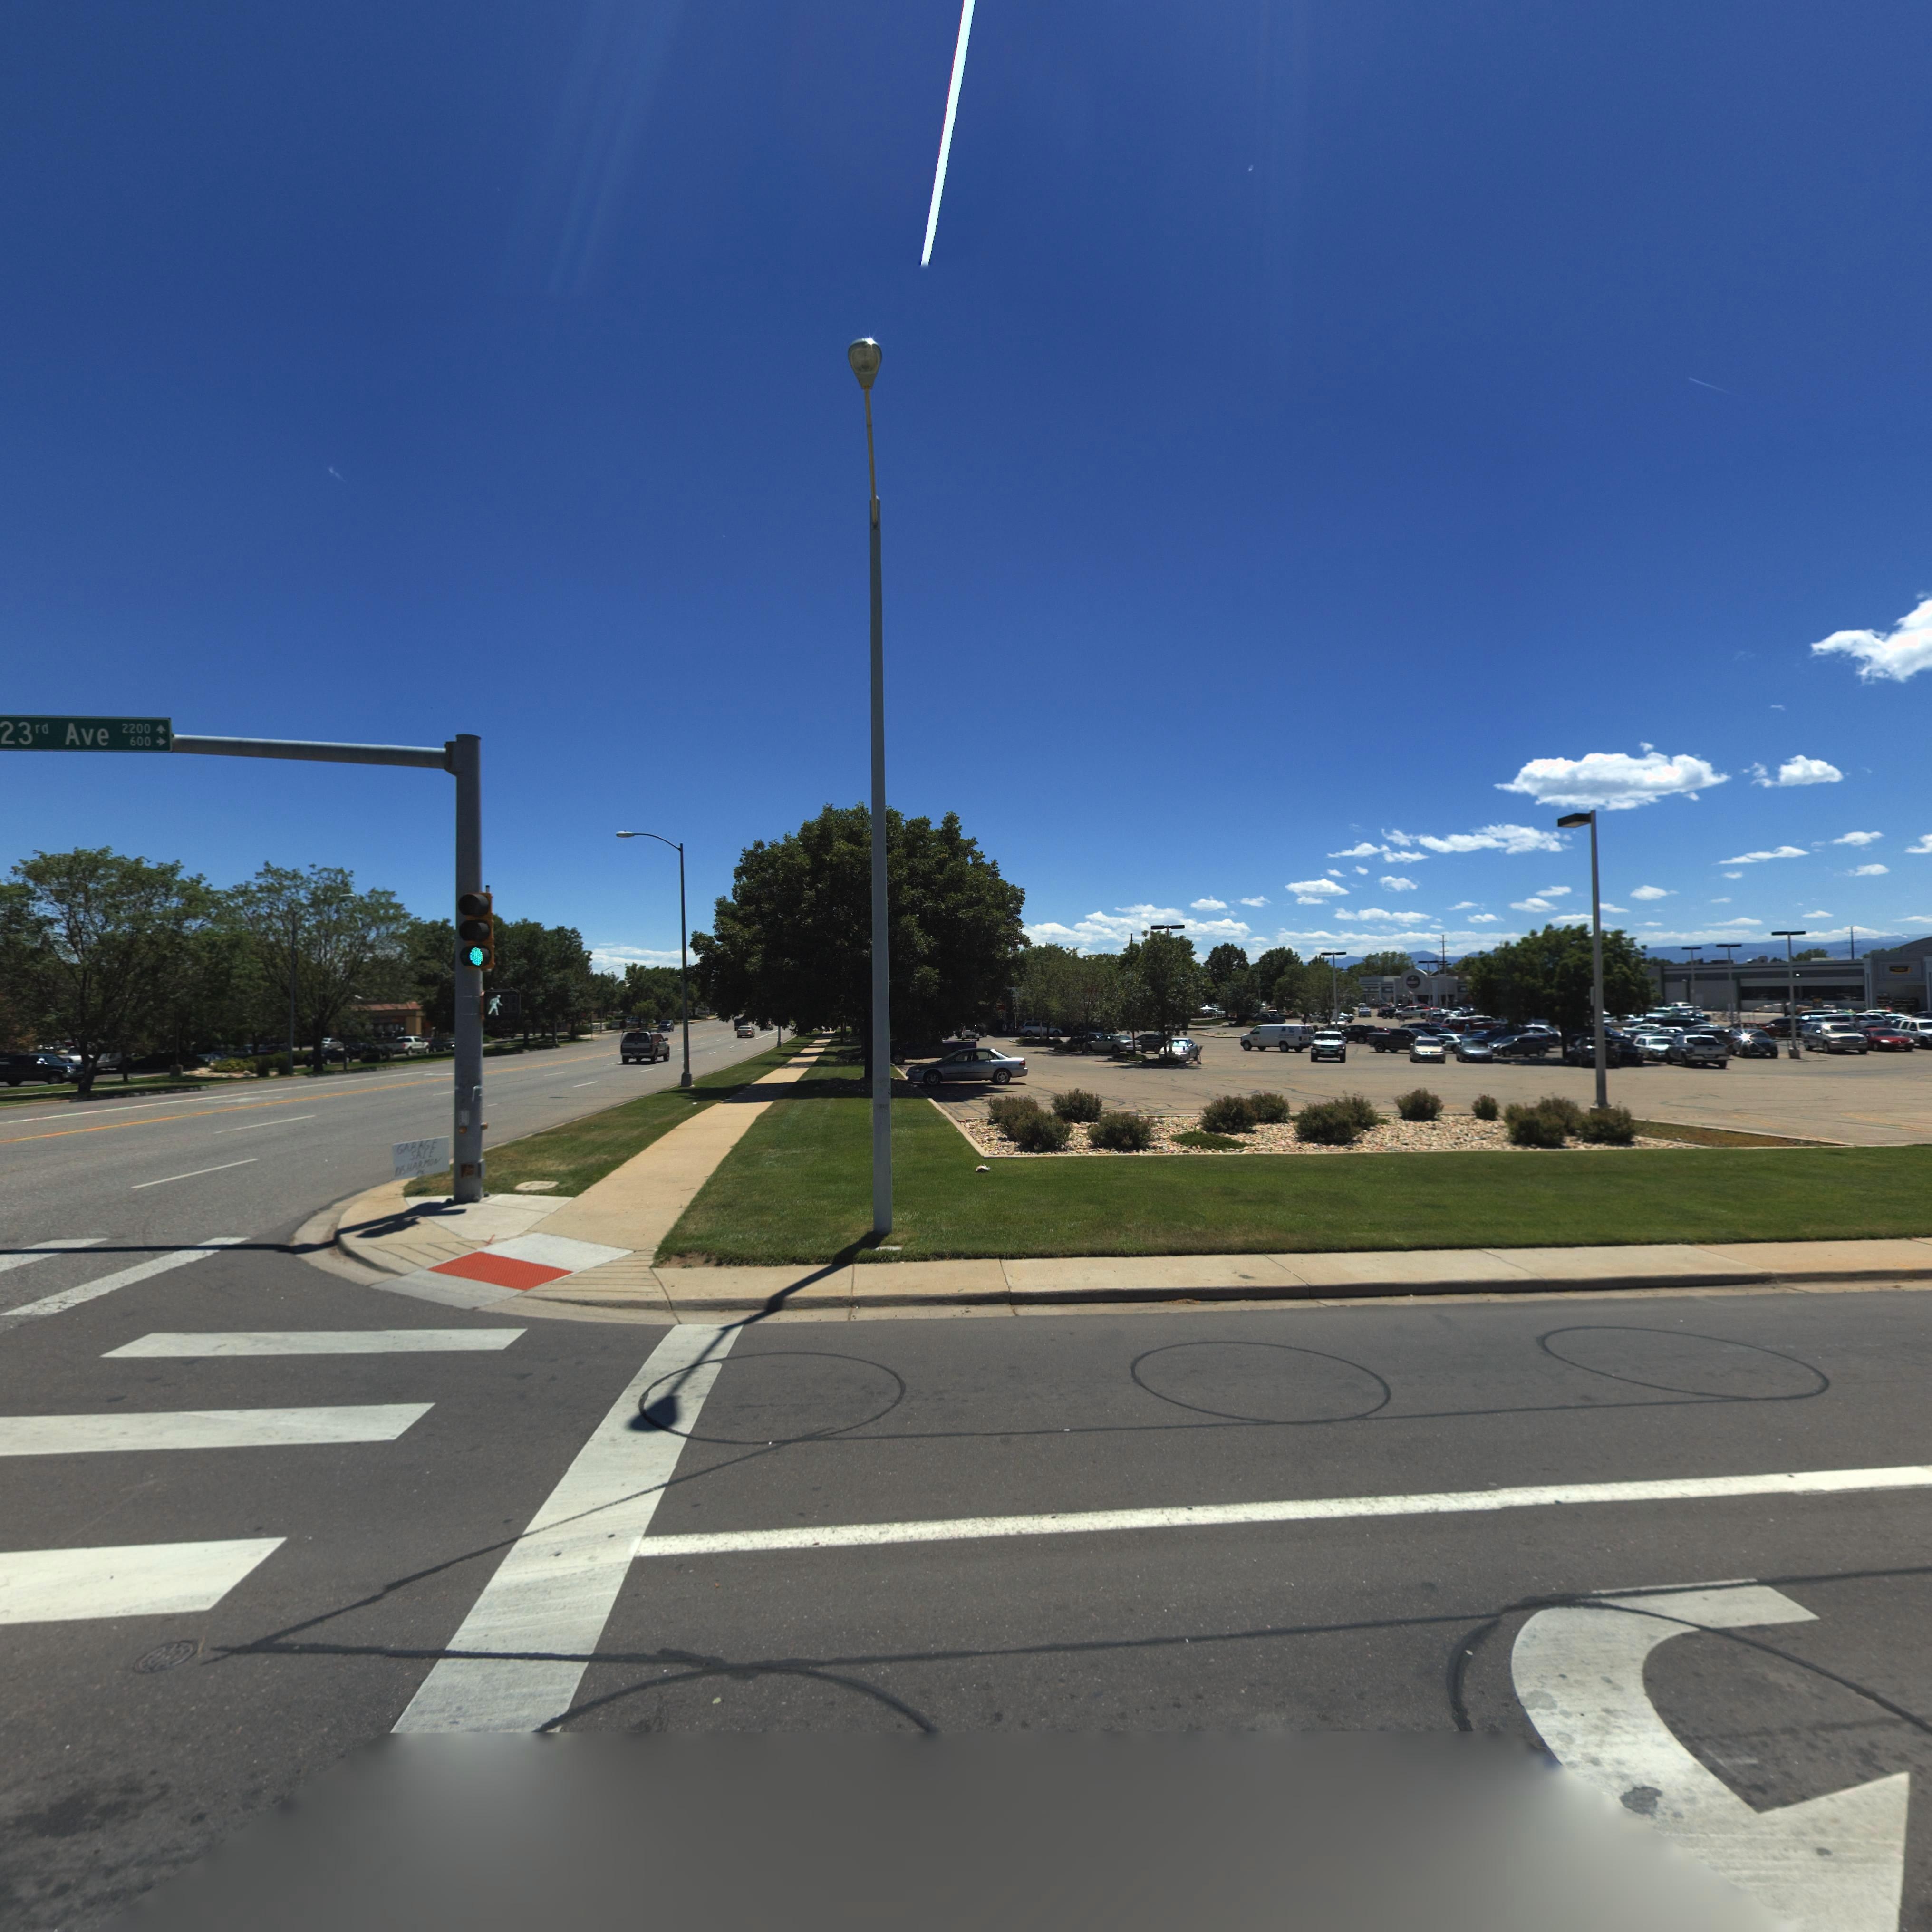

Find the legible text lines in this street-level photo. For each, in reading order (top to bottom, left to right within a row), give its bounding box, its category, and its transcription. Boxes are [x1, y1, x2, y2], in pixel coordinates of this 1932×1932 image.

[0, 720, 110, 746] StreetName: 23rd Ave
[121, 723, 151, 734] StreetNumberRange: 2200
[128, 736, 167, 747] StreetNumberRange: 600->